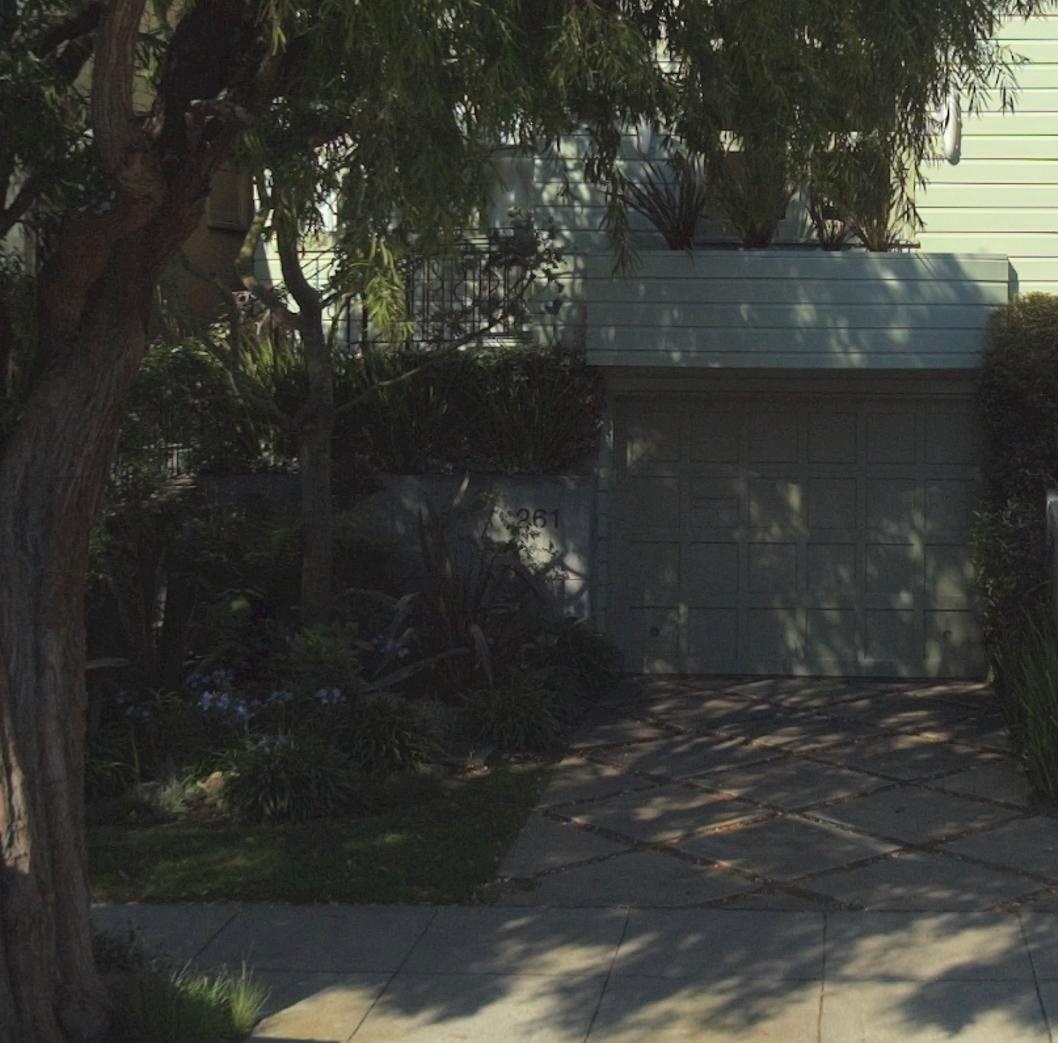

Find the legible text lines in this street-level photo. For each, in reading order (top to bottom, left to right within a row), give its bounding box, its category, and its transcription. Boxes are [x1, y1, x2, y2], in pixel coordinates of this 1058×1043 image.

[515, 506, 563, 531] StreetNumber: 261